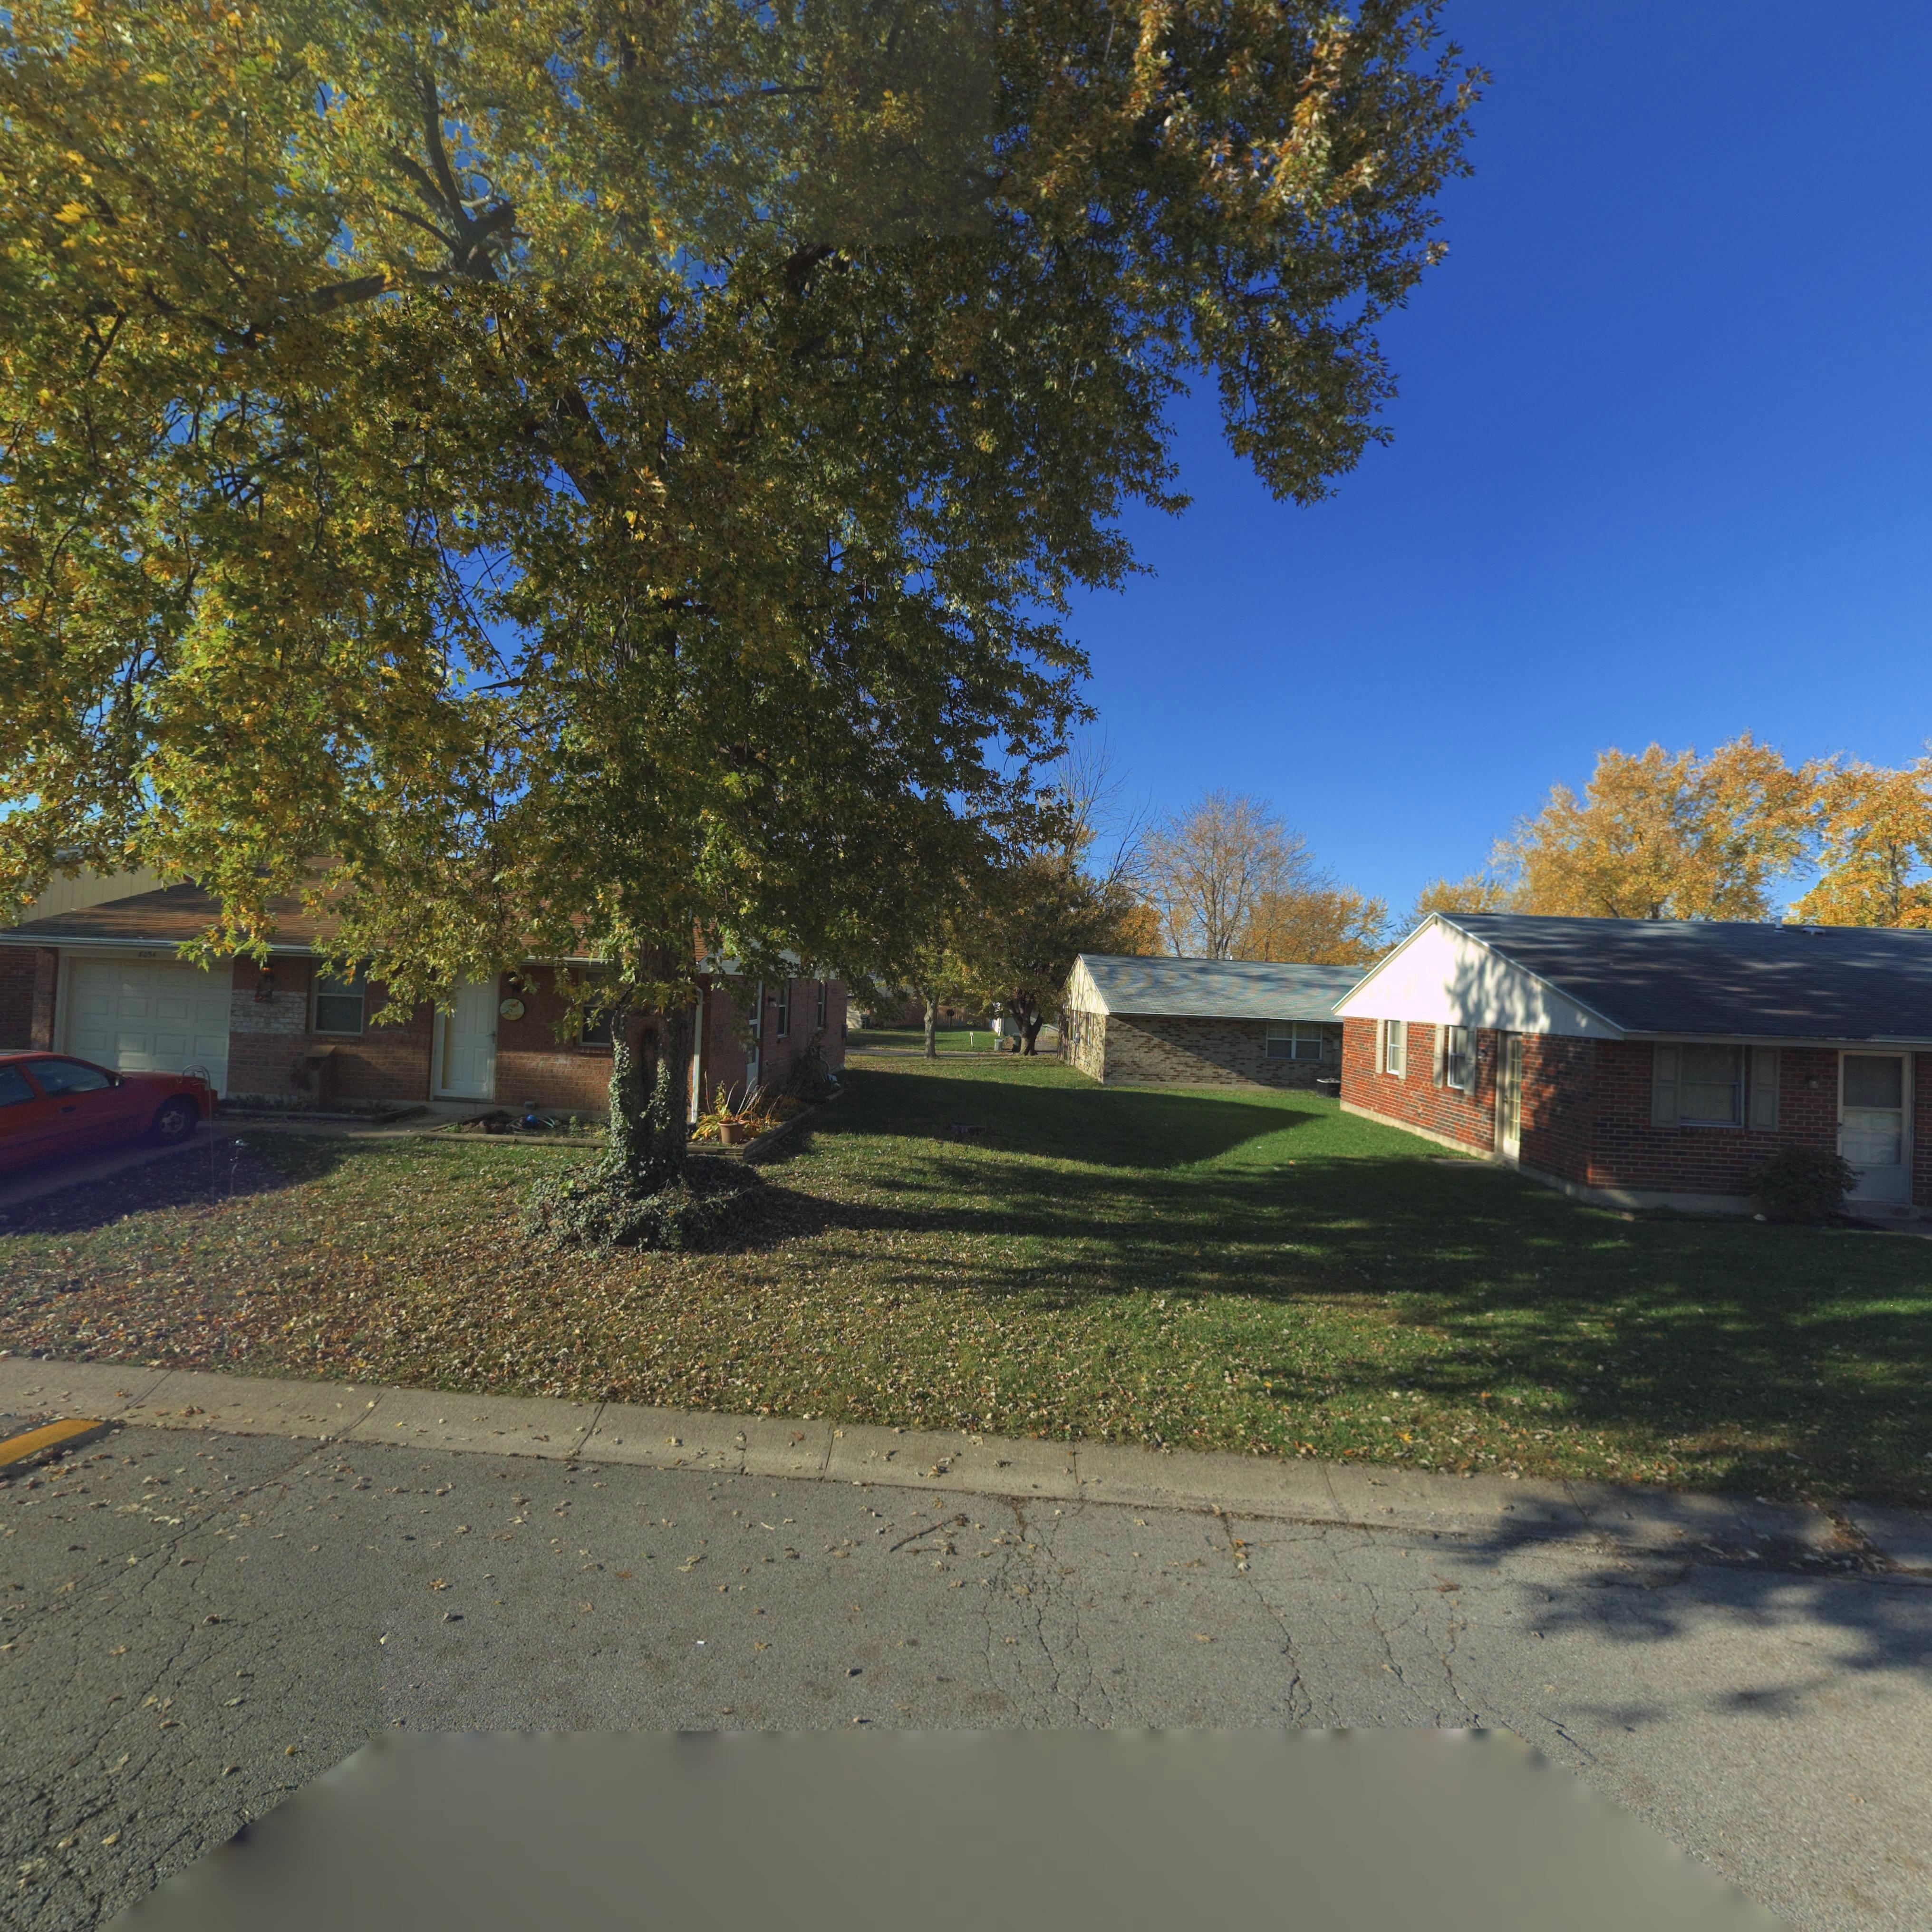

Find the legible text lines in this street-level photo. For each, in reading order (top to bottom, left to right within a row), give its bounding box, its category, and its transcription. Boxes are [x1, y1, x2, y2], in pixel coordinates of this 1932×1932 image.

[137, 950, 159, 959] StreetNumber: *05*